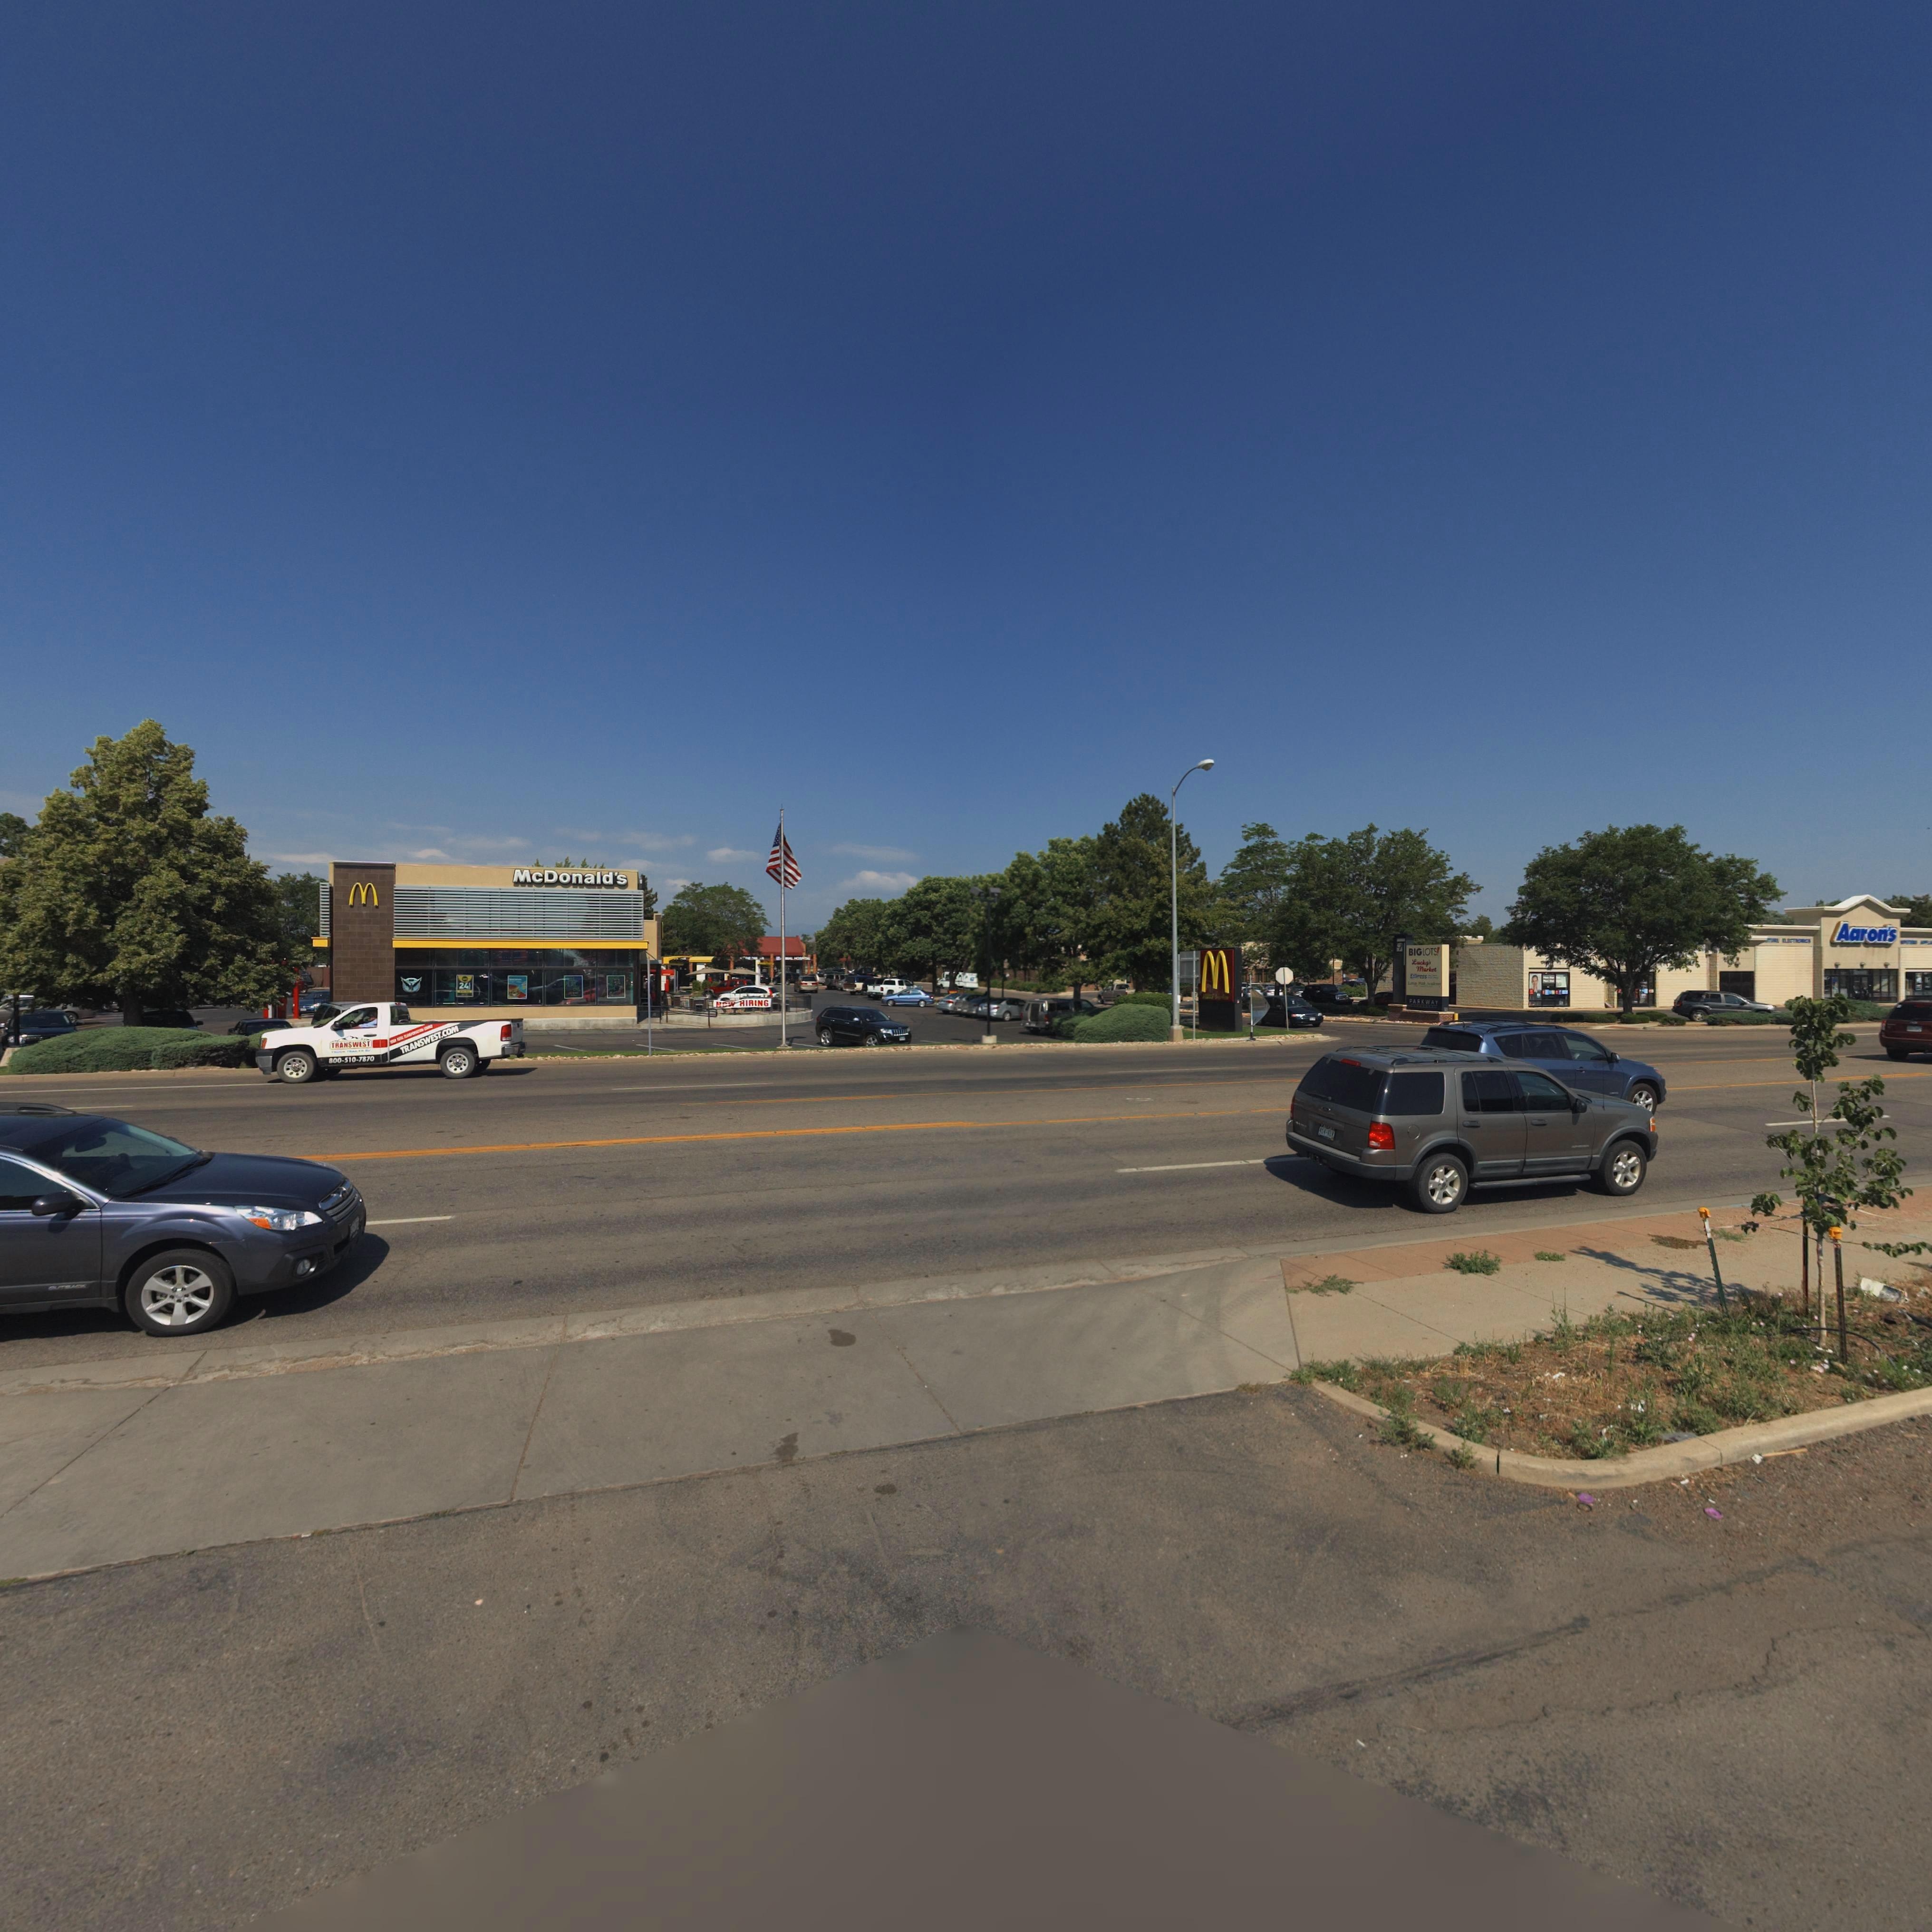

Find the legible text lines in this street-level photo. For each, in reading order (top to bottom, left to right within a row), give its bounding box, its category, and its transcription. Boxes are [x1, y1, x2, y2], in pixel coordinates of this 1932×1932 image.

[512, 869, 628, 886] BusinessName: McDonald's
[1831, 920, 1897, 943] BusinessName: Aaron's
[1408, 946, 1440, 956] BusinessName: BIGLOTS!
[1411, 958, 1431, 967] BusinessName: Lucky's
[1416, 966, 1437, 972] BusinessName: Market
[1410, 973, 1428, 979] BusinessName: Ex**ess